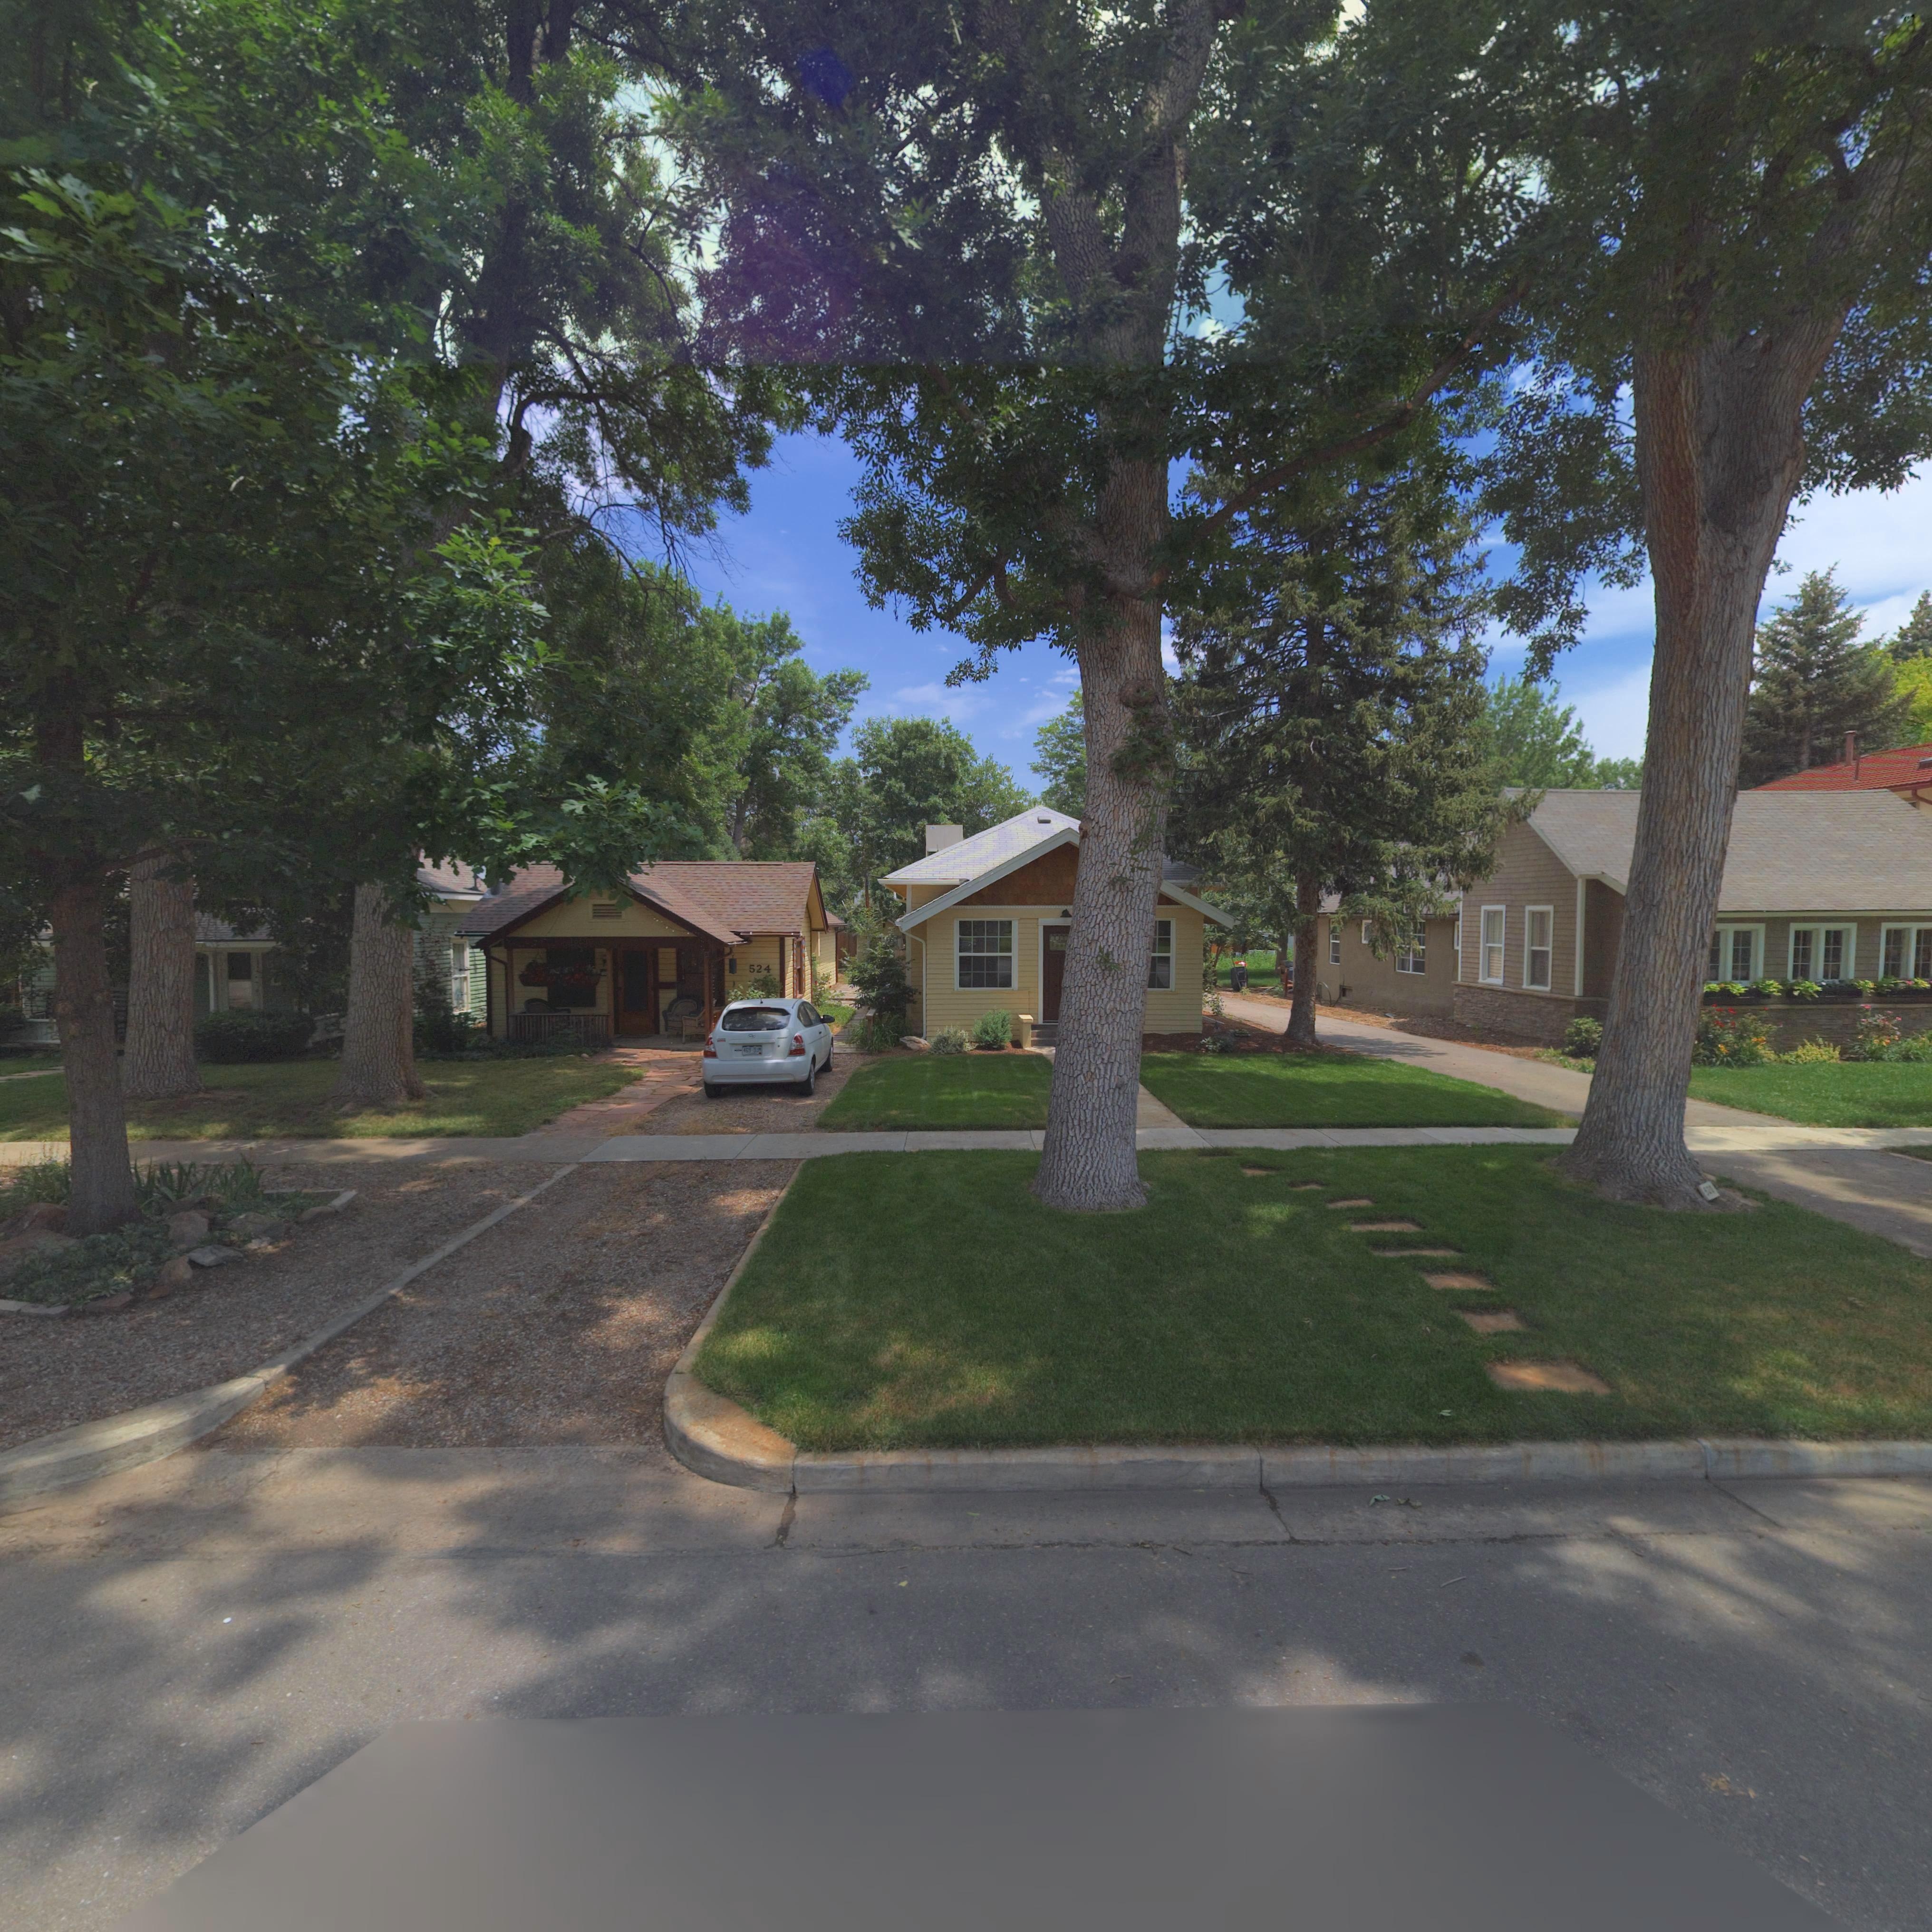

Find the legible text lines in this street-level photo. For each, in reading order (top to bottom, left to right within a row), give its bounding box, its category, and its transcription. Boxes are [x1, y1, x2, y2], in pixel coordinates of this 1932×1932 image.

[749, 964, 772, 973] StreetNumber: 524
[1702, 1184, 1715, 1197] StreetNumber: 52*